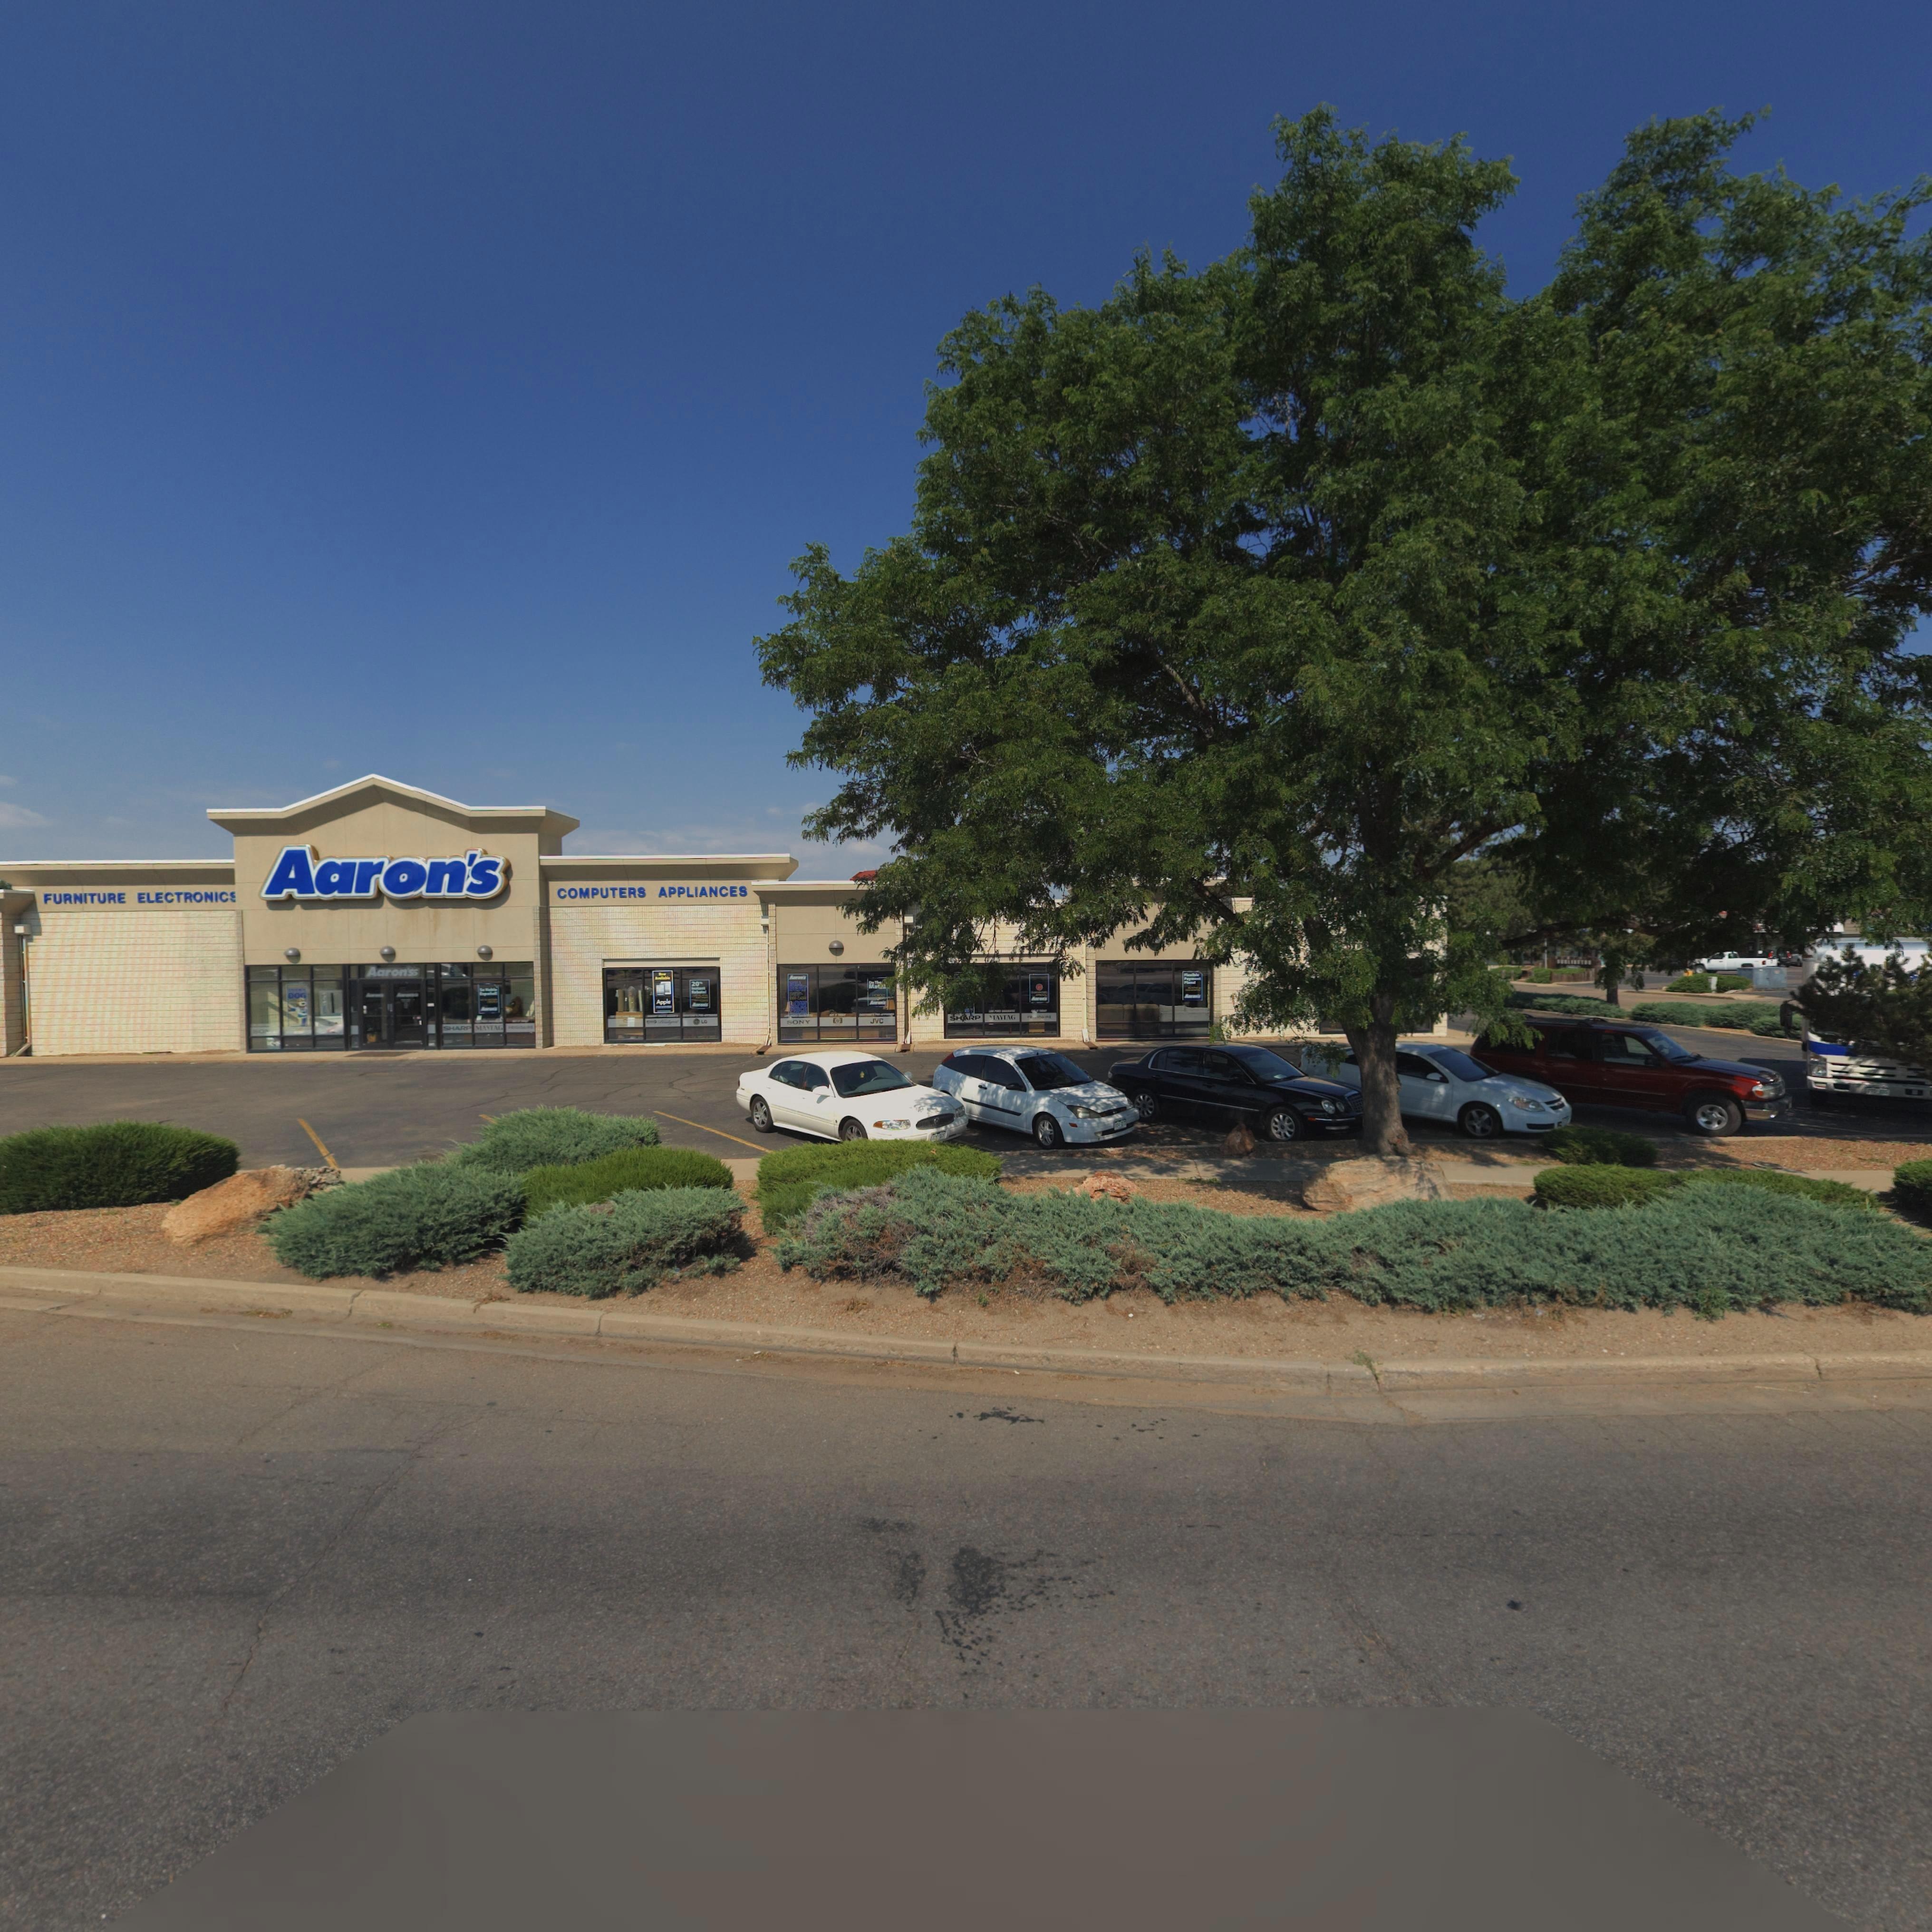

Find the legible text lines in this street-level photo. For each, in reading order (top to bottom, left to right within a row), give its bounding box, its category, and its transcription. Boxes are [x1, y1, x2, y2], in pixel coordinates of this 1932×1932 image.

[257, 842, 510, 901] BusinessName: Aaron's
[364, 965, 419, 977] BusinessName: Aaron's*